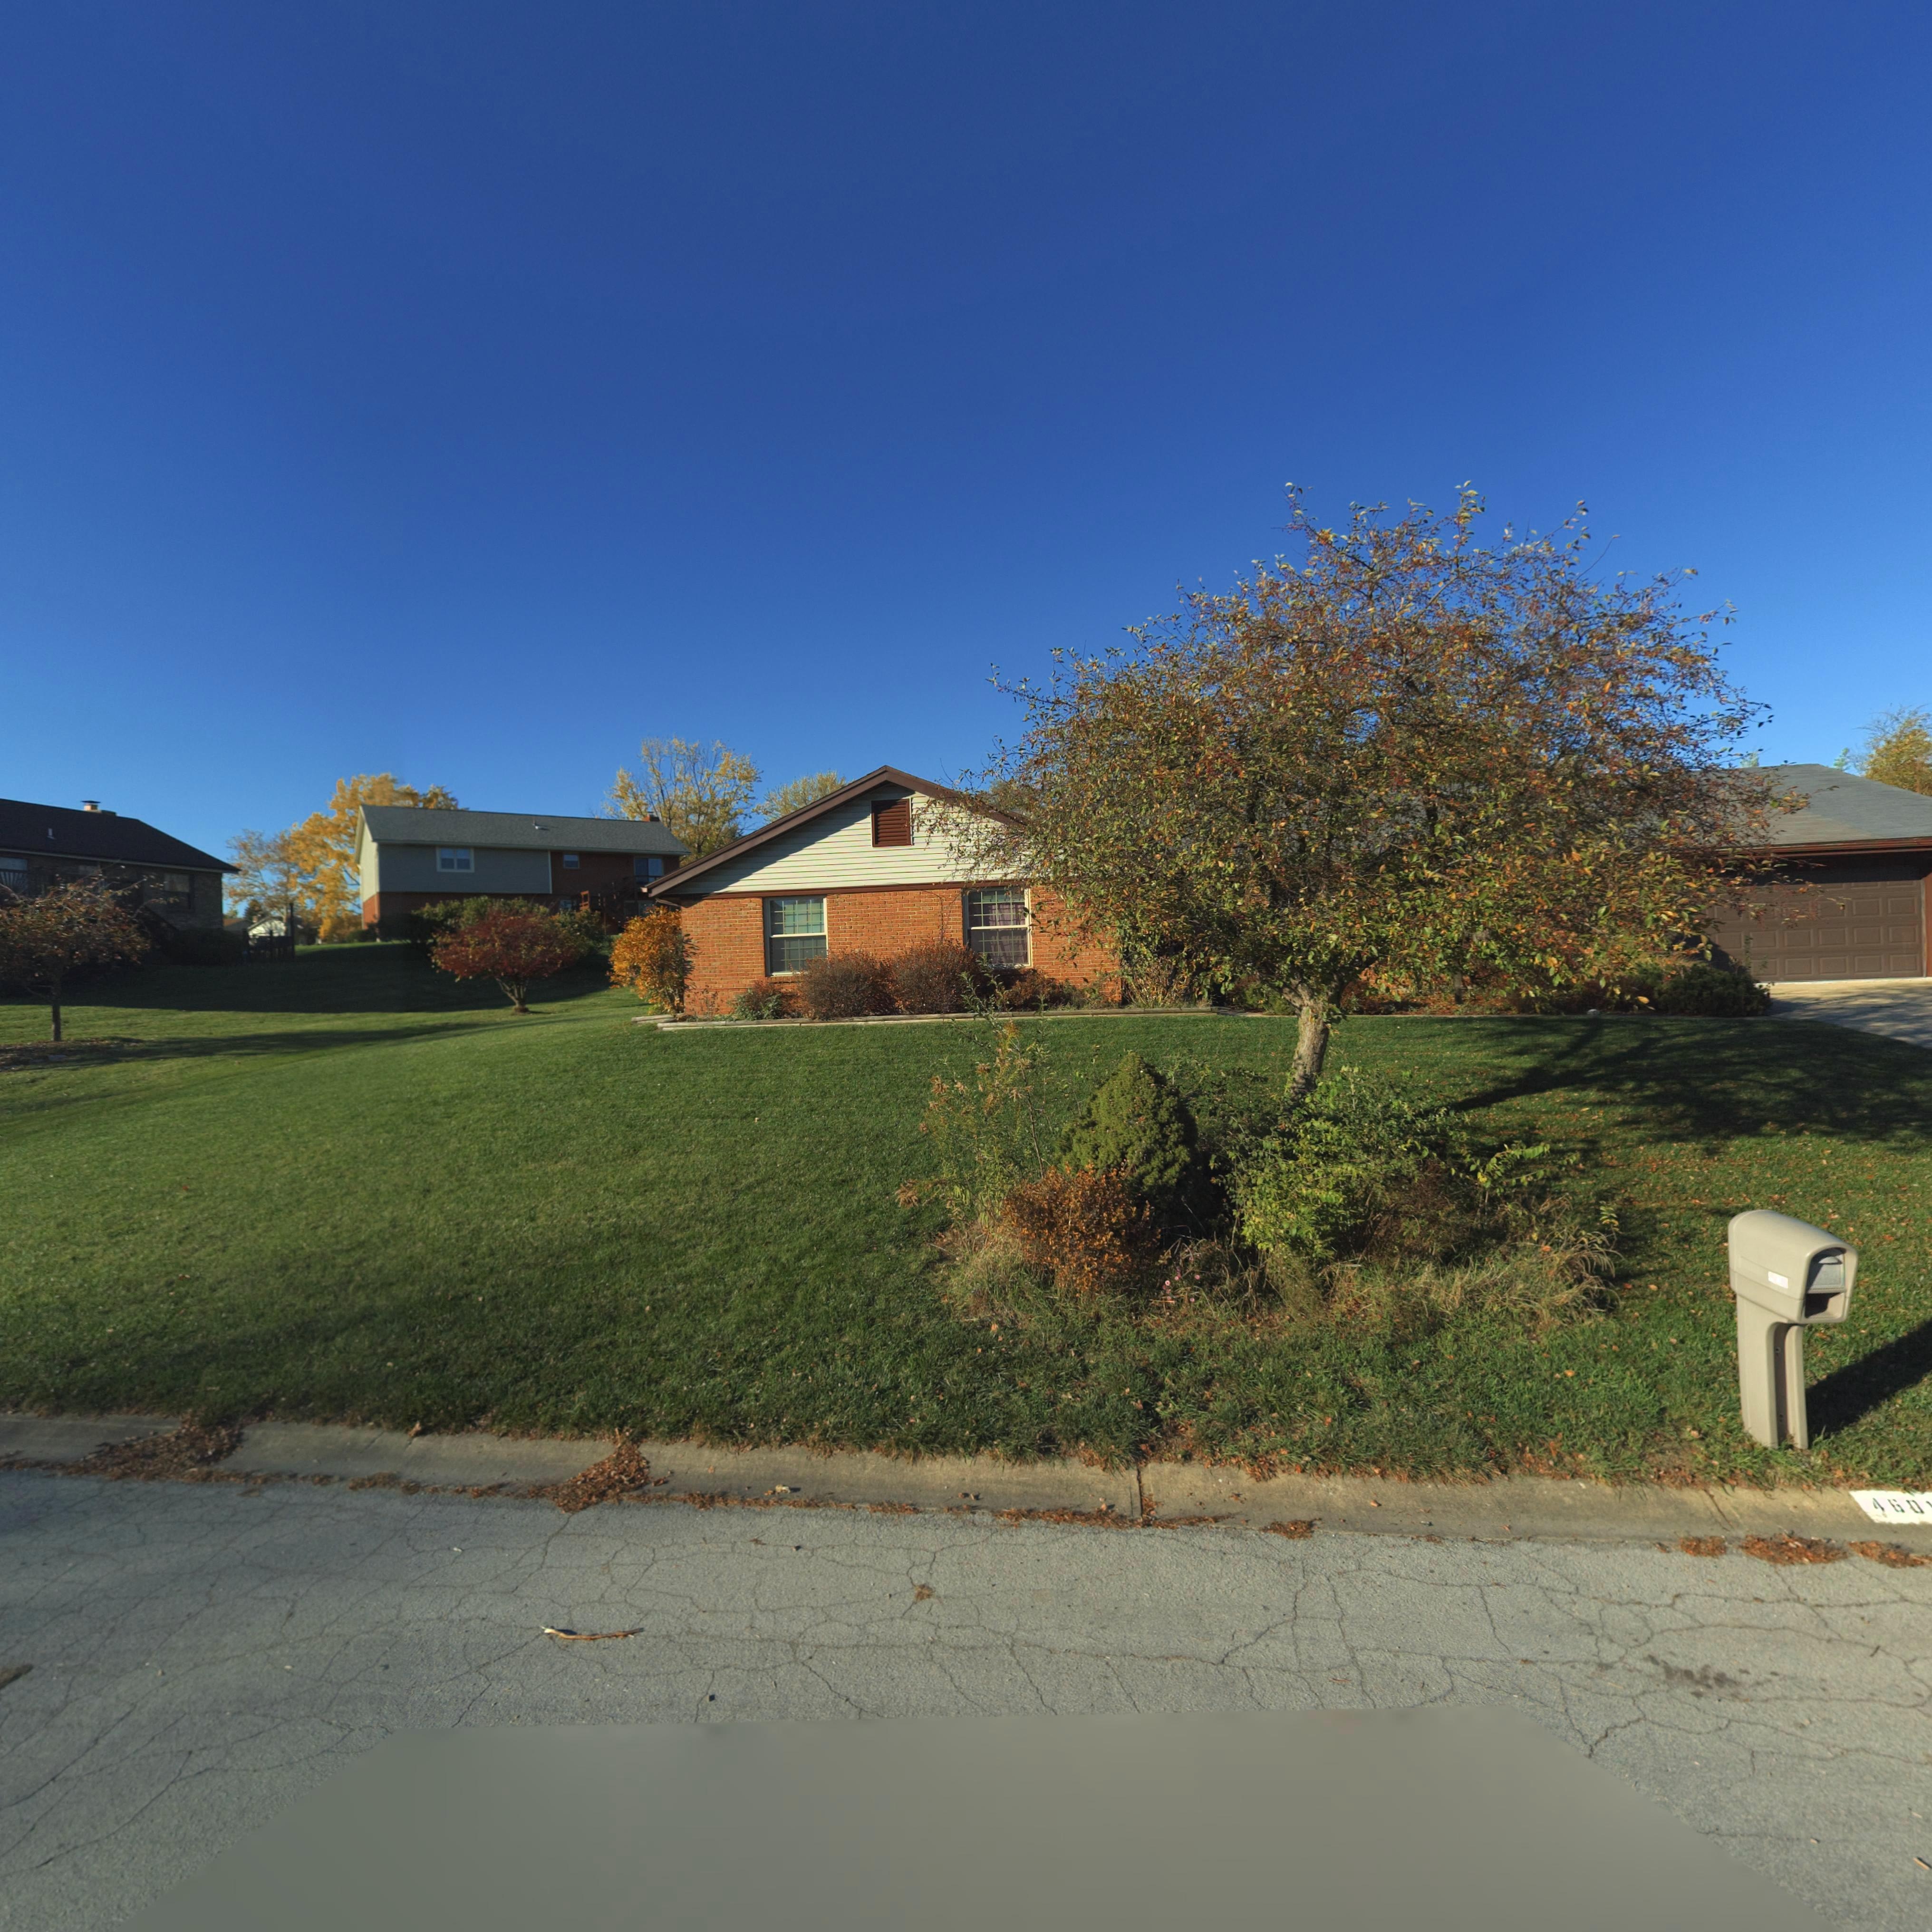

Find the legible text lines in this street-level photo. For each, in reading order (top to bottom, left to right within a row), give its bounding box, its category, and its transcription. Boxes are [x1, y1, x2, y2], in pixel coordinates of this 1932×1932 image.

[1870, 1496, 1927, 1516] StreetNumber: 460